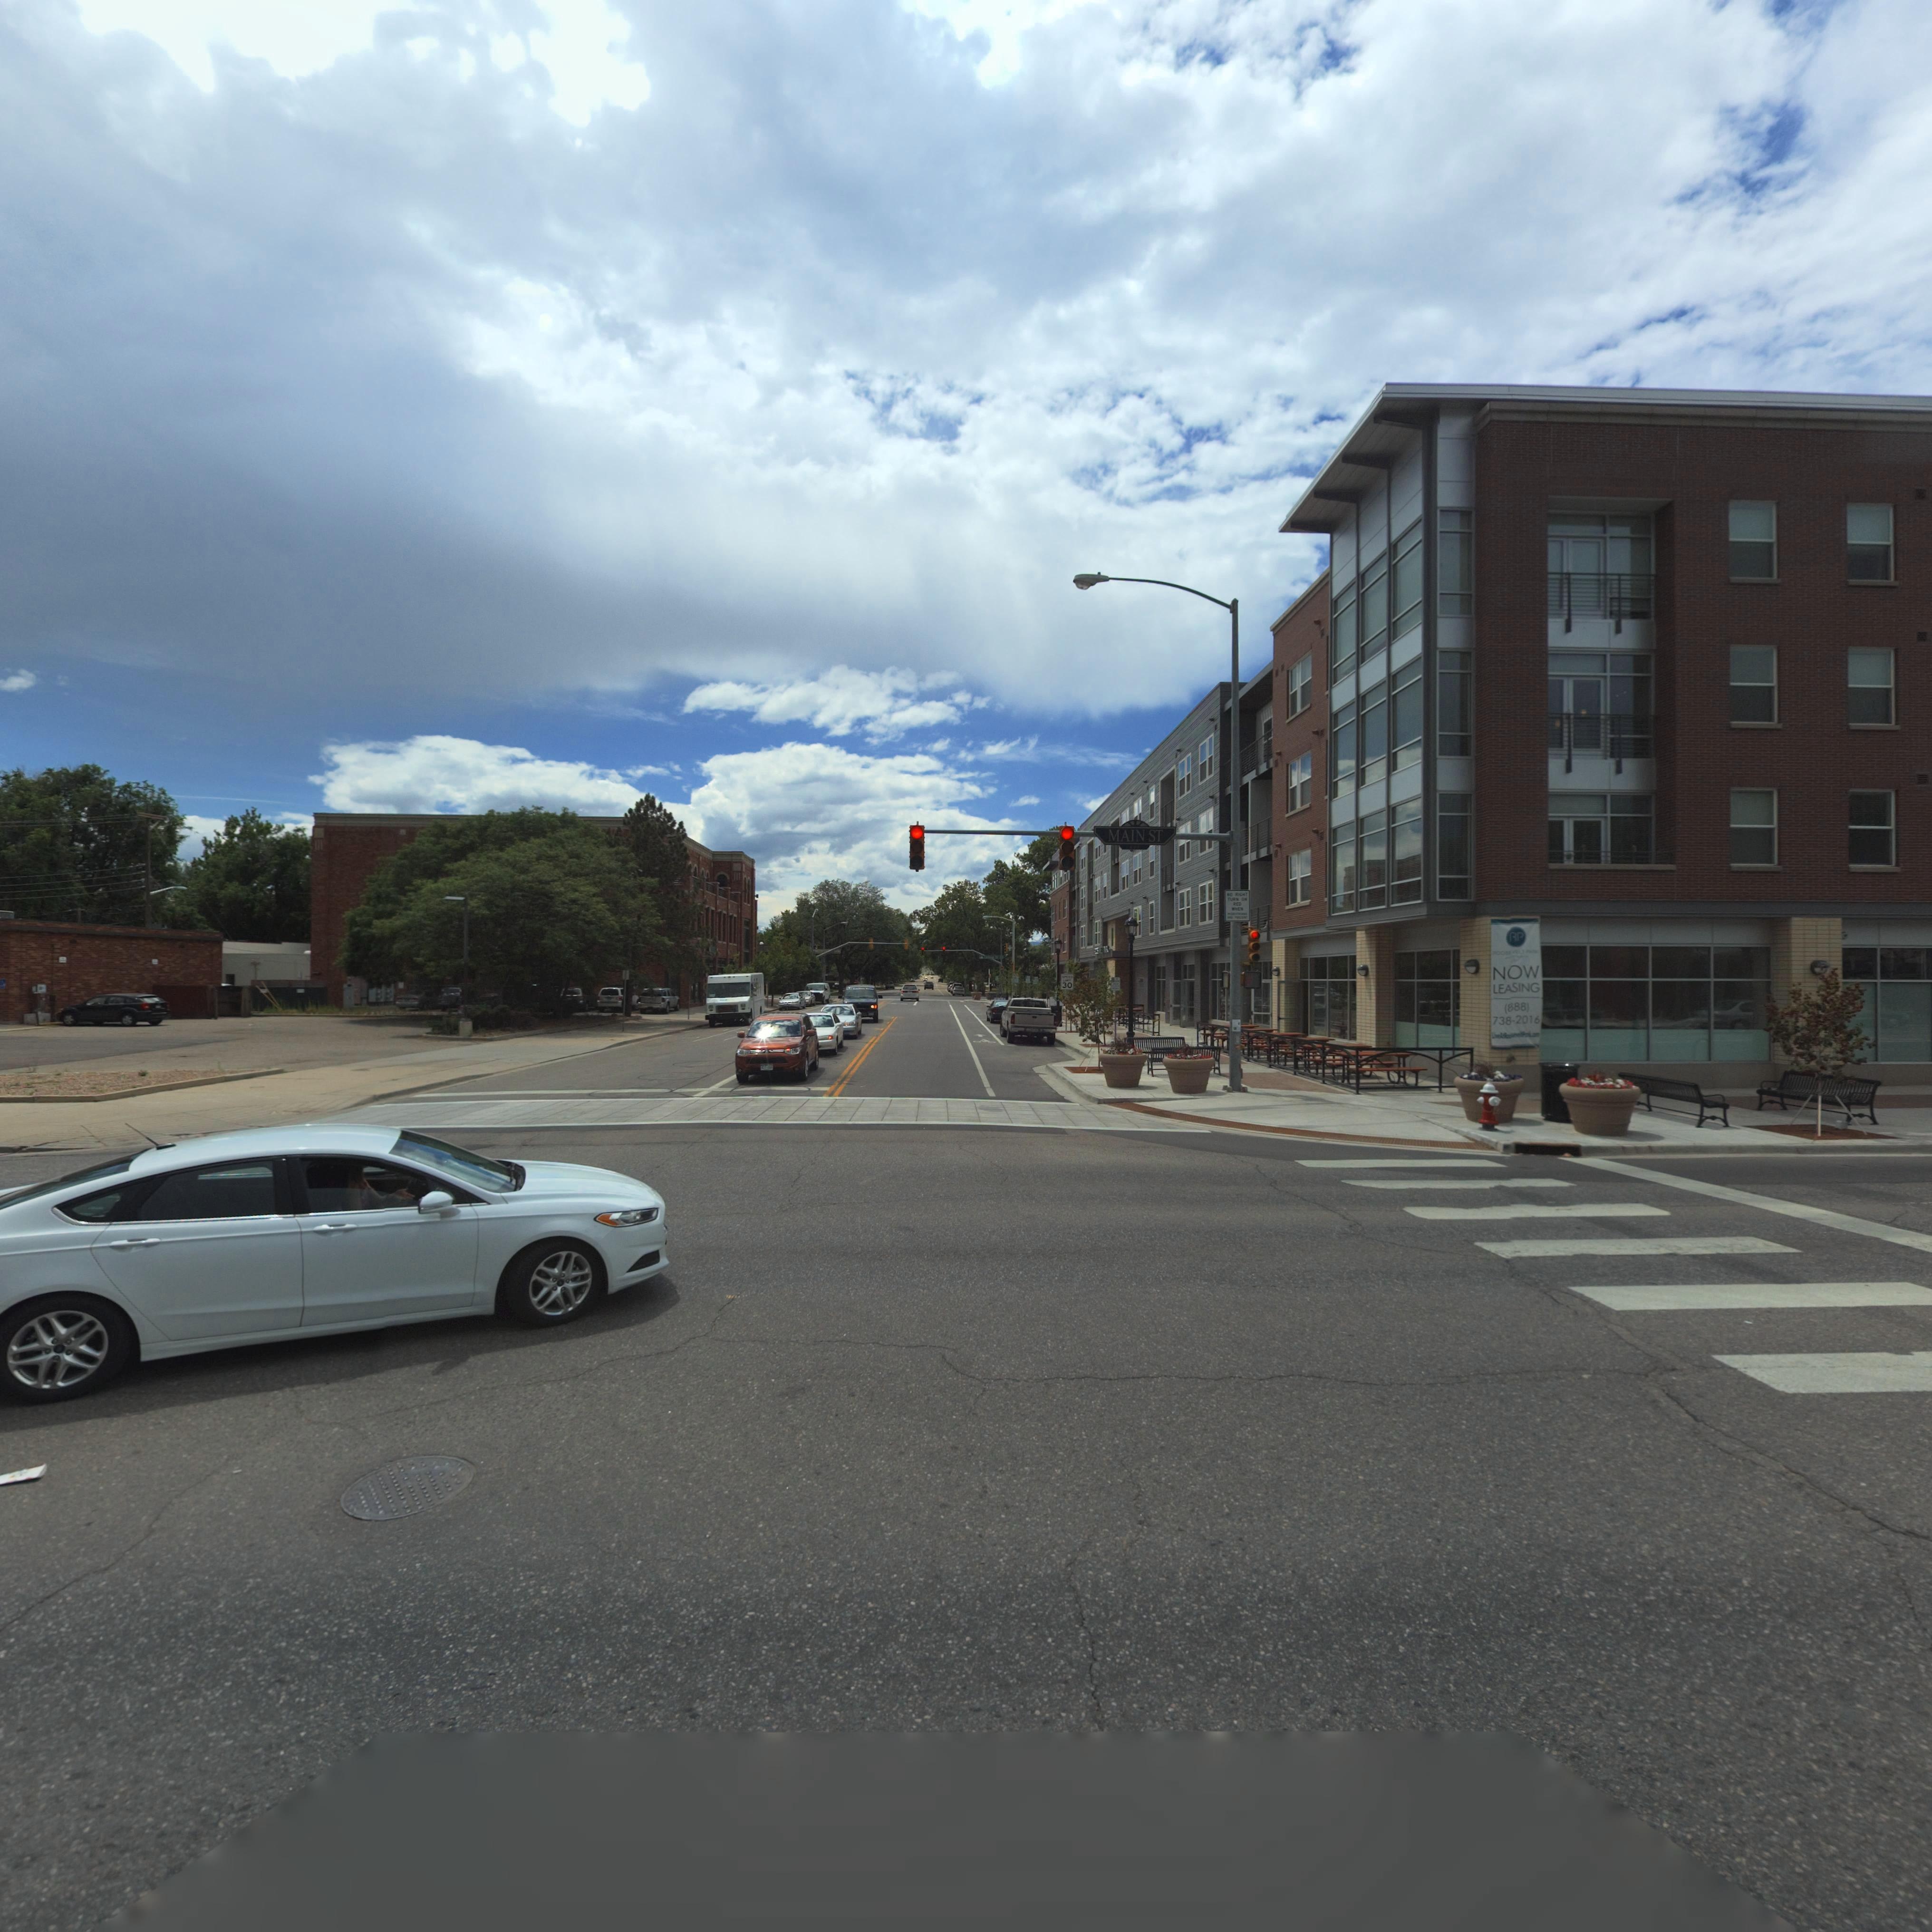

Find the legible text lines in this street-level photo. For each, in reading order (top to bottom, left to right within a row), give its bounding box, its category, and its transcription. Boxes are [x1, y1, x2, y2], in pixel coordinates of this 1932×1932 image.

[1108, 829, 1164, 842] StreetName: MAIN ST